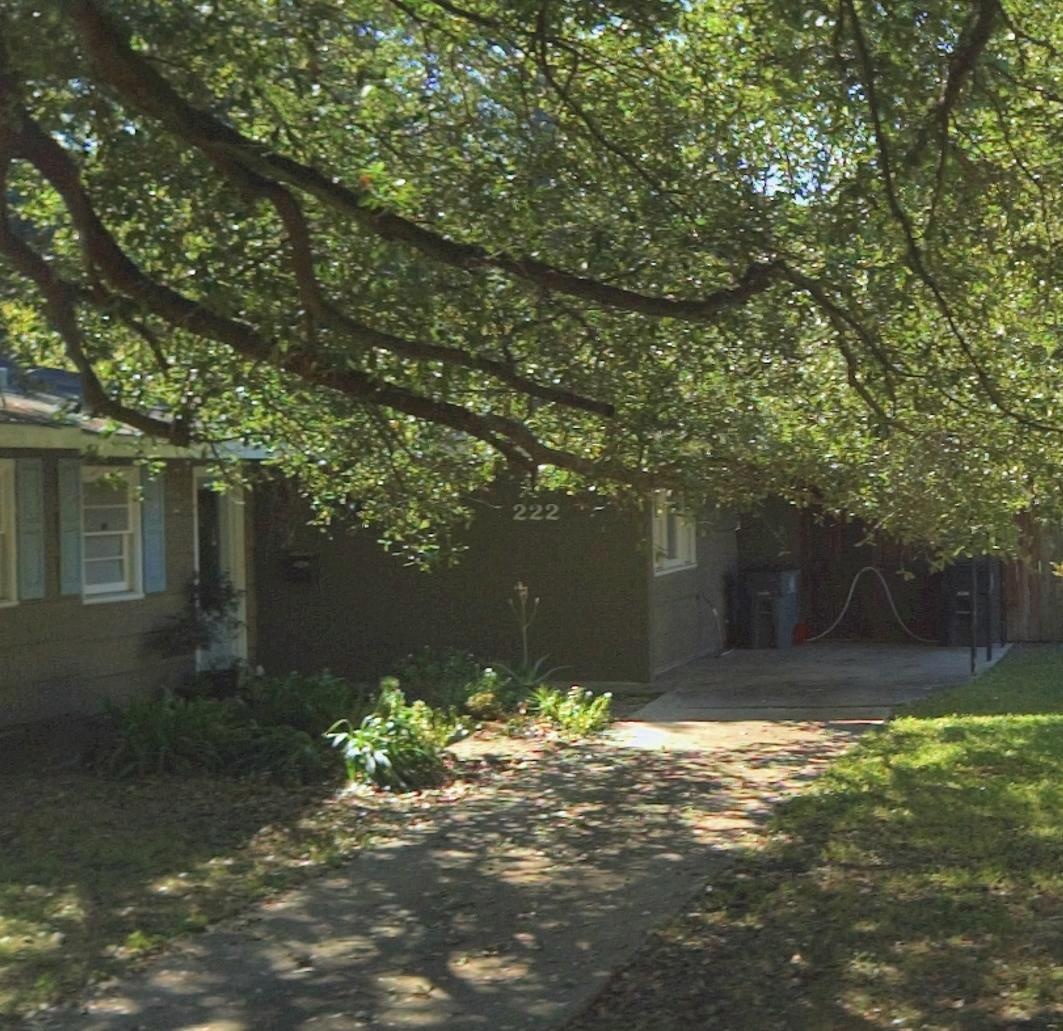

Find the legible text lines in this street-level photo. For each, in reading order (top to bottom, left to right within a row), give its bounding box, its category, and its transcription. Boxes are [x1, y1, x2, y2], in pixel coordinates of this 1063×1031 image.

[511, 502, 561, 522] StreetNumber: 222